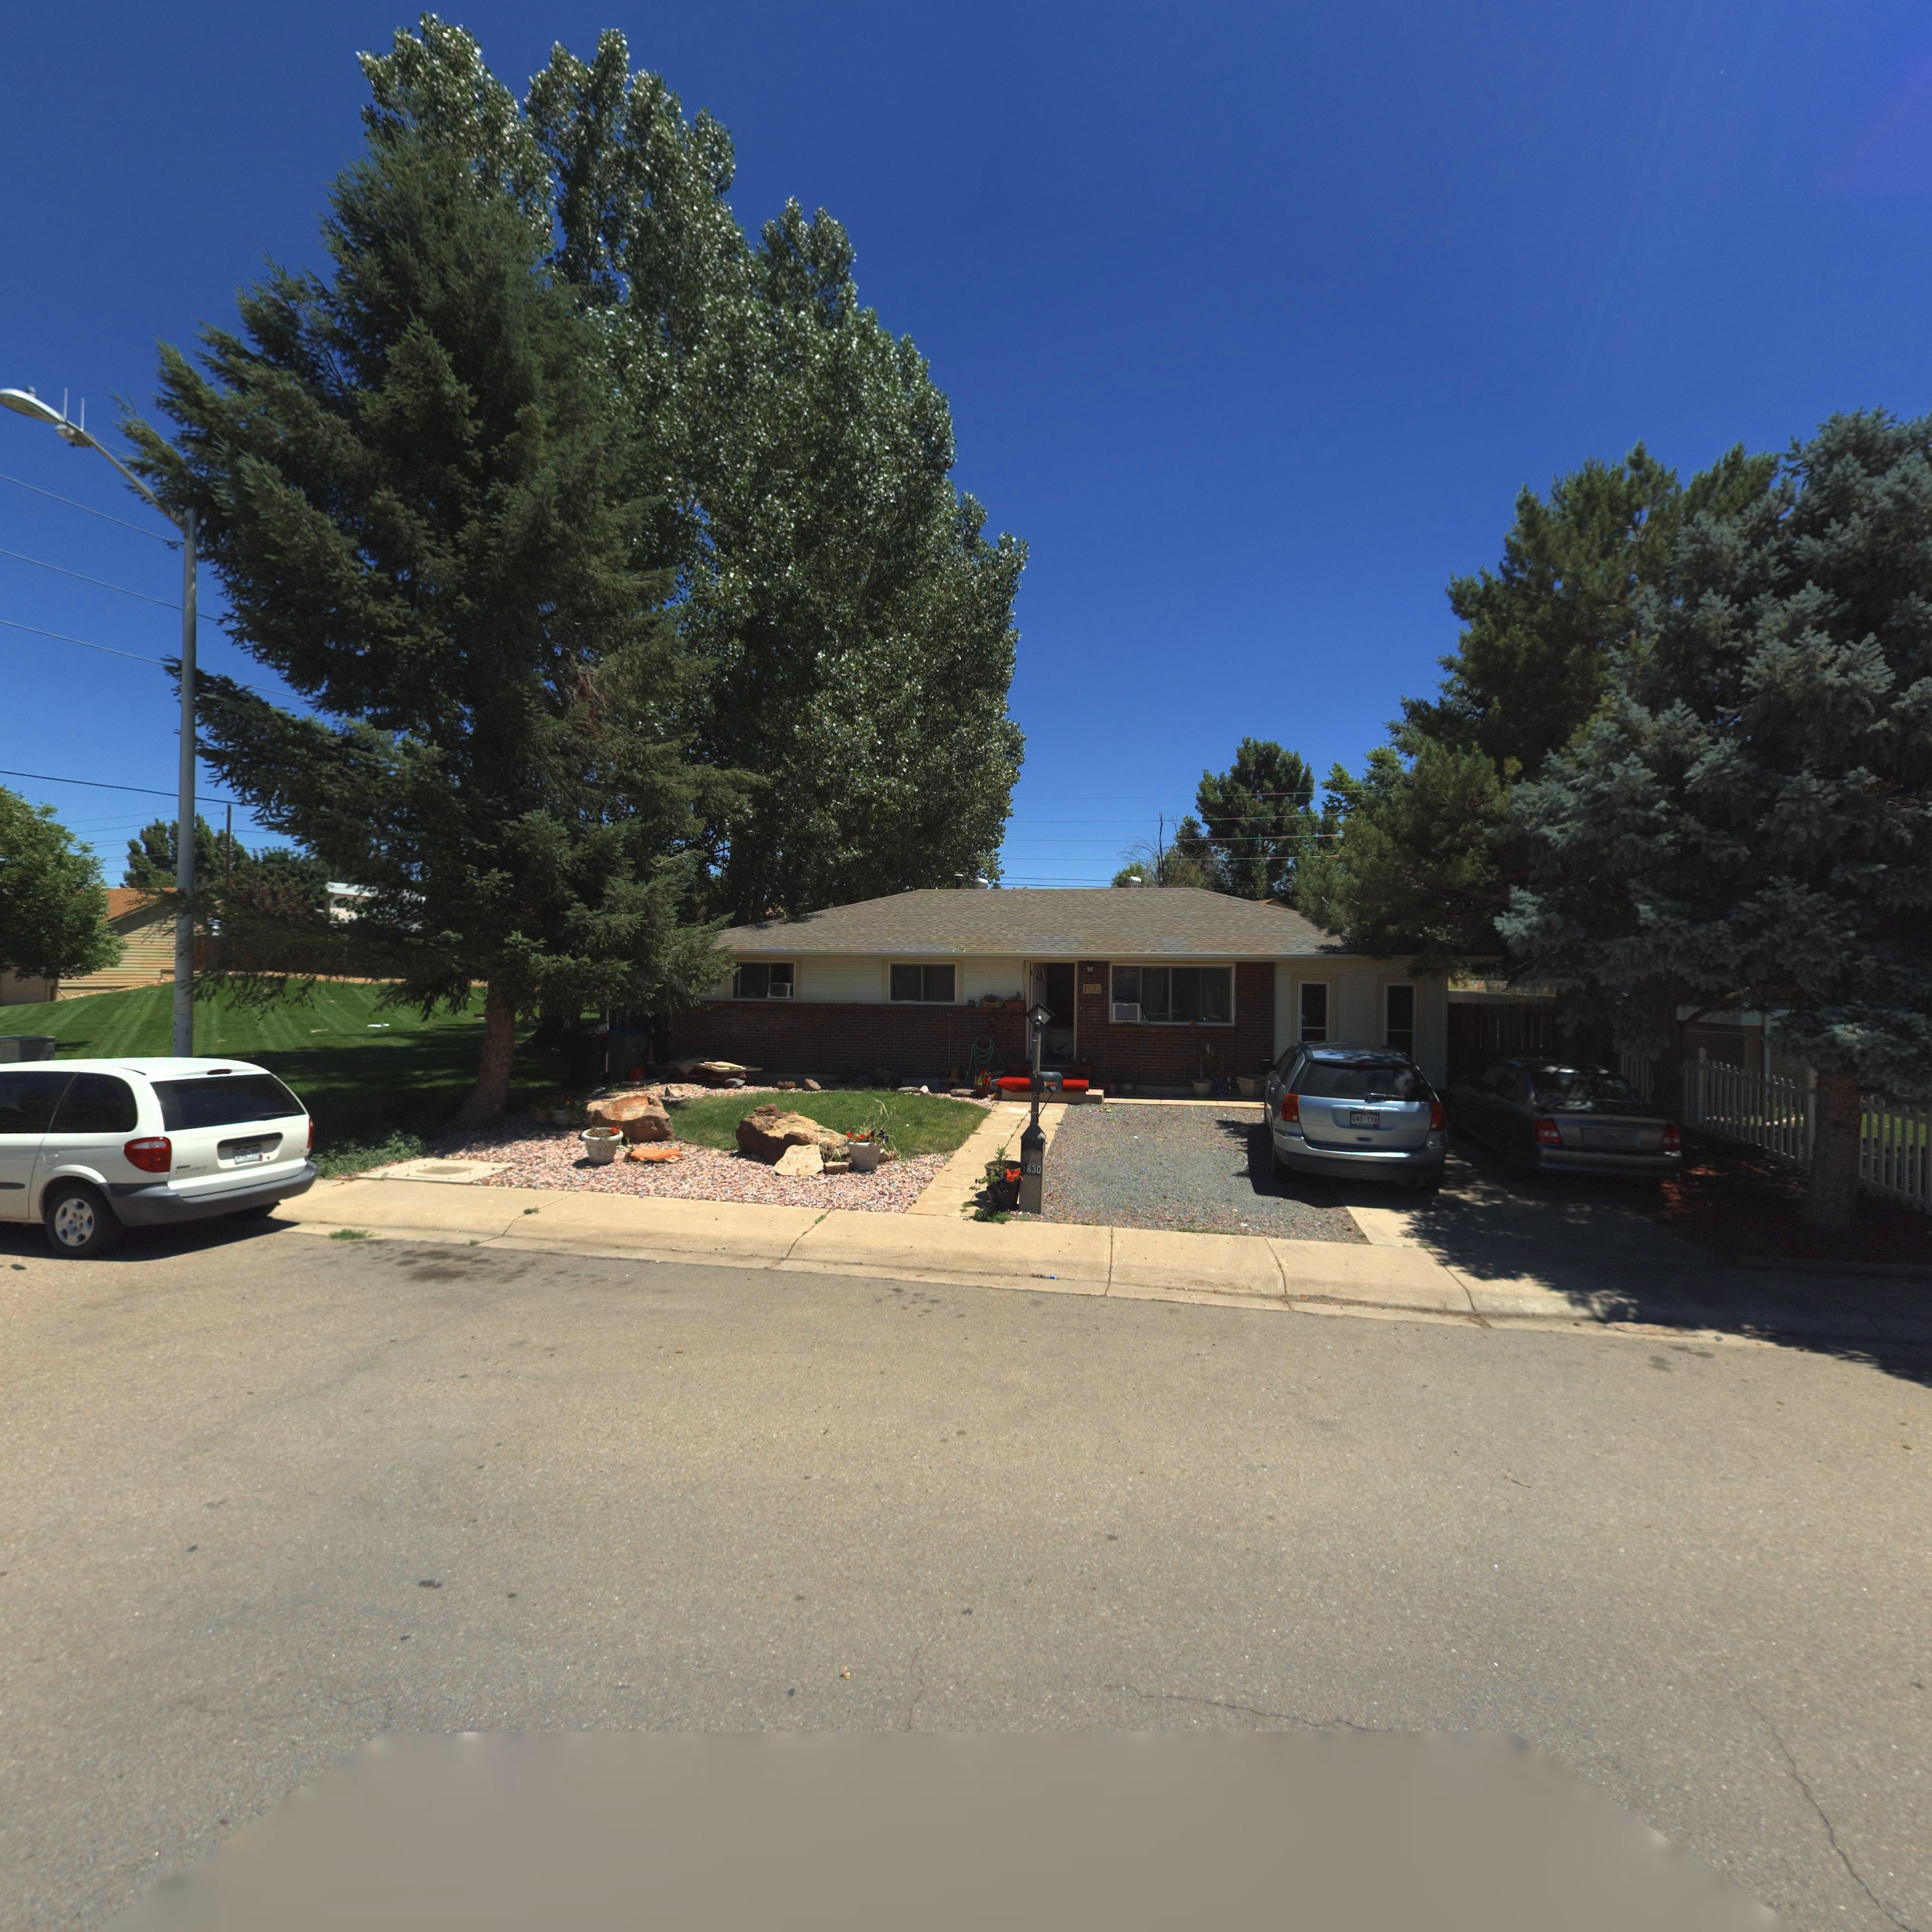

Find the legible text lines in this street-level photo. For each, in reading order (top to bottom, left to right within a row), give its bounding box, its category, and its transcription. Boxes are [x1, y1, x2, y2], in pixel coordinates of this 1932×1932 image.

[1082, 985, 1101, 992] StreetNumber: 1830
[1022, 1164, 1041, 1174] StreetNumber: 1830